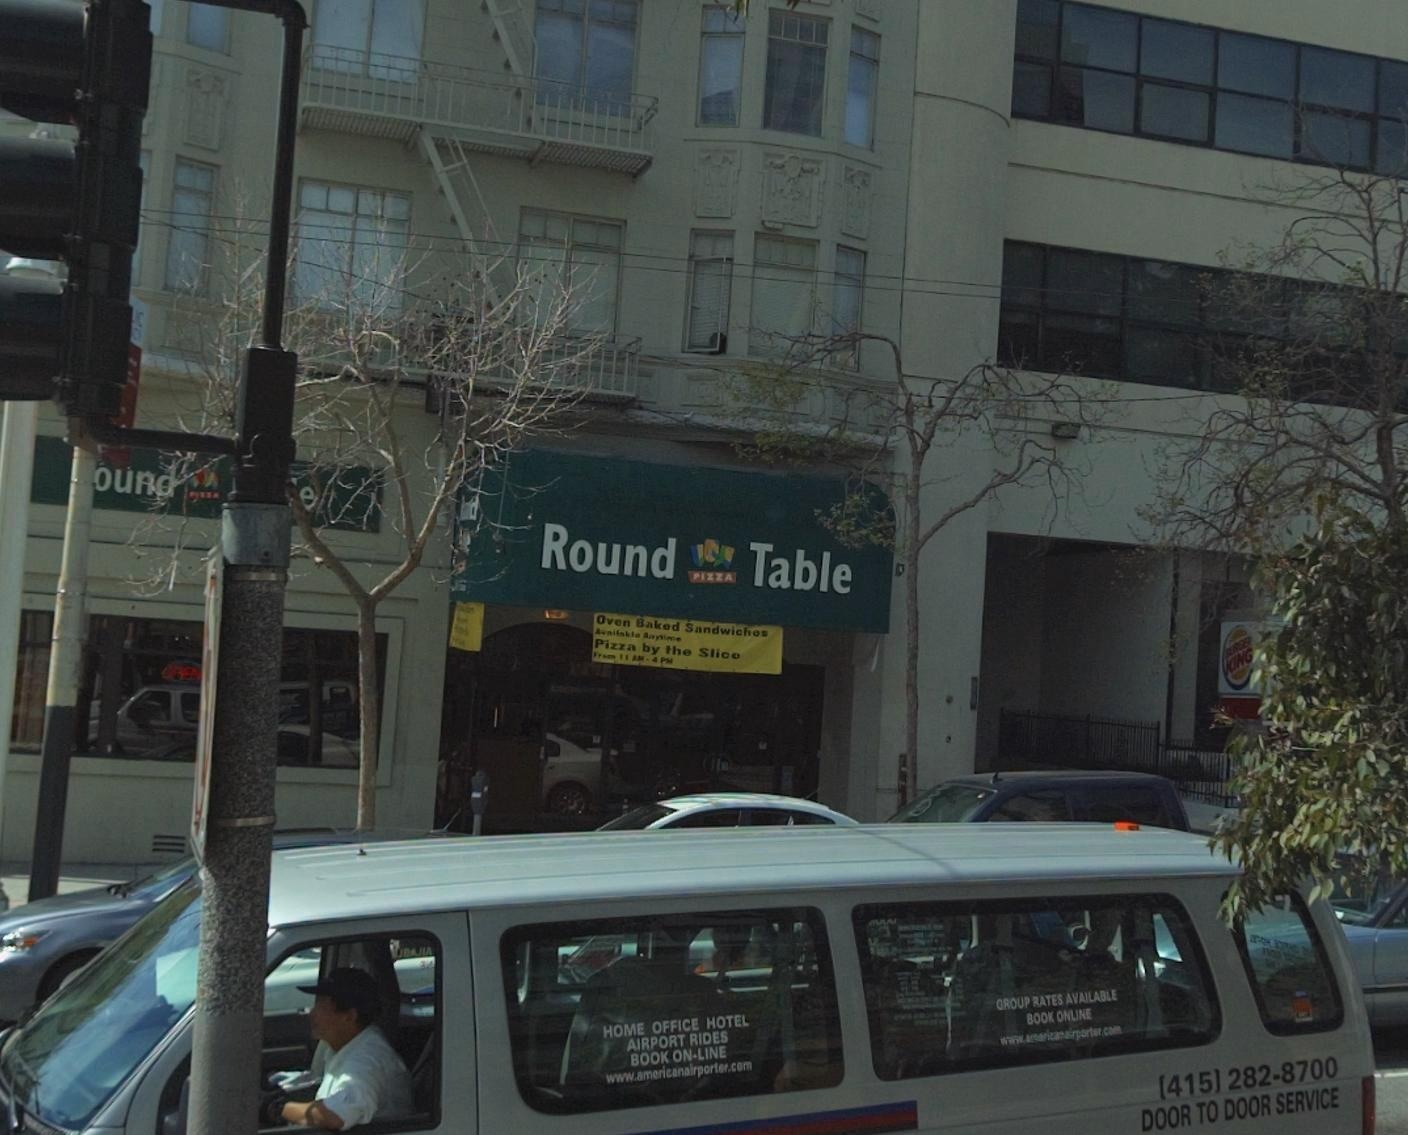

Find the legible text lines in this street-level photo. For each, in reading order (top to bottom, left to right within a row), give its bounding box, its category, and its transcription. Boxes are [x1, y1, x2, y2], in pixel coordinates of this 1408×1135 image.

[131, 305, 151, 332] None: IC
[90, 461, 181, 503] BusinessName: ound
[296, 483, 319, 516] BusinessName: e
[536, 521, 854, 597] BusinessName: Round Table
[692, 571, 735, 583] None: PIZZA
[589, 650, 676, 666] None: From 11AM - 4PM
[591, 625, 684, 644] None: Available Anytime
[591, 636, 742, 661] None: Pizza by the Slice
[594, 613, 771, 639] None: Oven Baked Sandwiches
[1223, 633, 1254, 661] BusinessName: BURGER
[1223, 645, 1255, 680] BusinessName: KING
[392, 944, 436, 961] None: **A*IA
[994, 985, 1120, 1013] None: GROUP RATES AVAILABLE
[597, 1012, 751, 1040] None: HOME OFFICE HOTEL
[1022, 1005, 1094, 1028] None: BOOK ONLINE
[621, 1028, 730, 1055] None: AIRPORT RIDES
[628, 1042, 730, 1070] None: BOOK ON-LINE
[603, 1059, 755, 1086] None: www.americanairporter.com
[1153, 1051, 1340, 1103] None: (415)282-8700
[1138, 1084, 1342, 1134] None: DOOR TO DOOR SERVICE